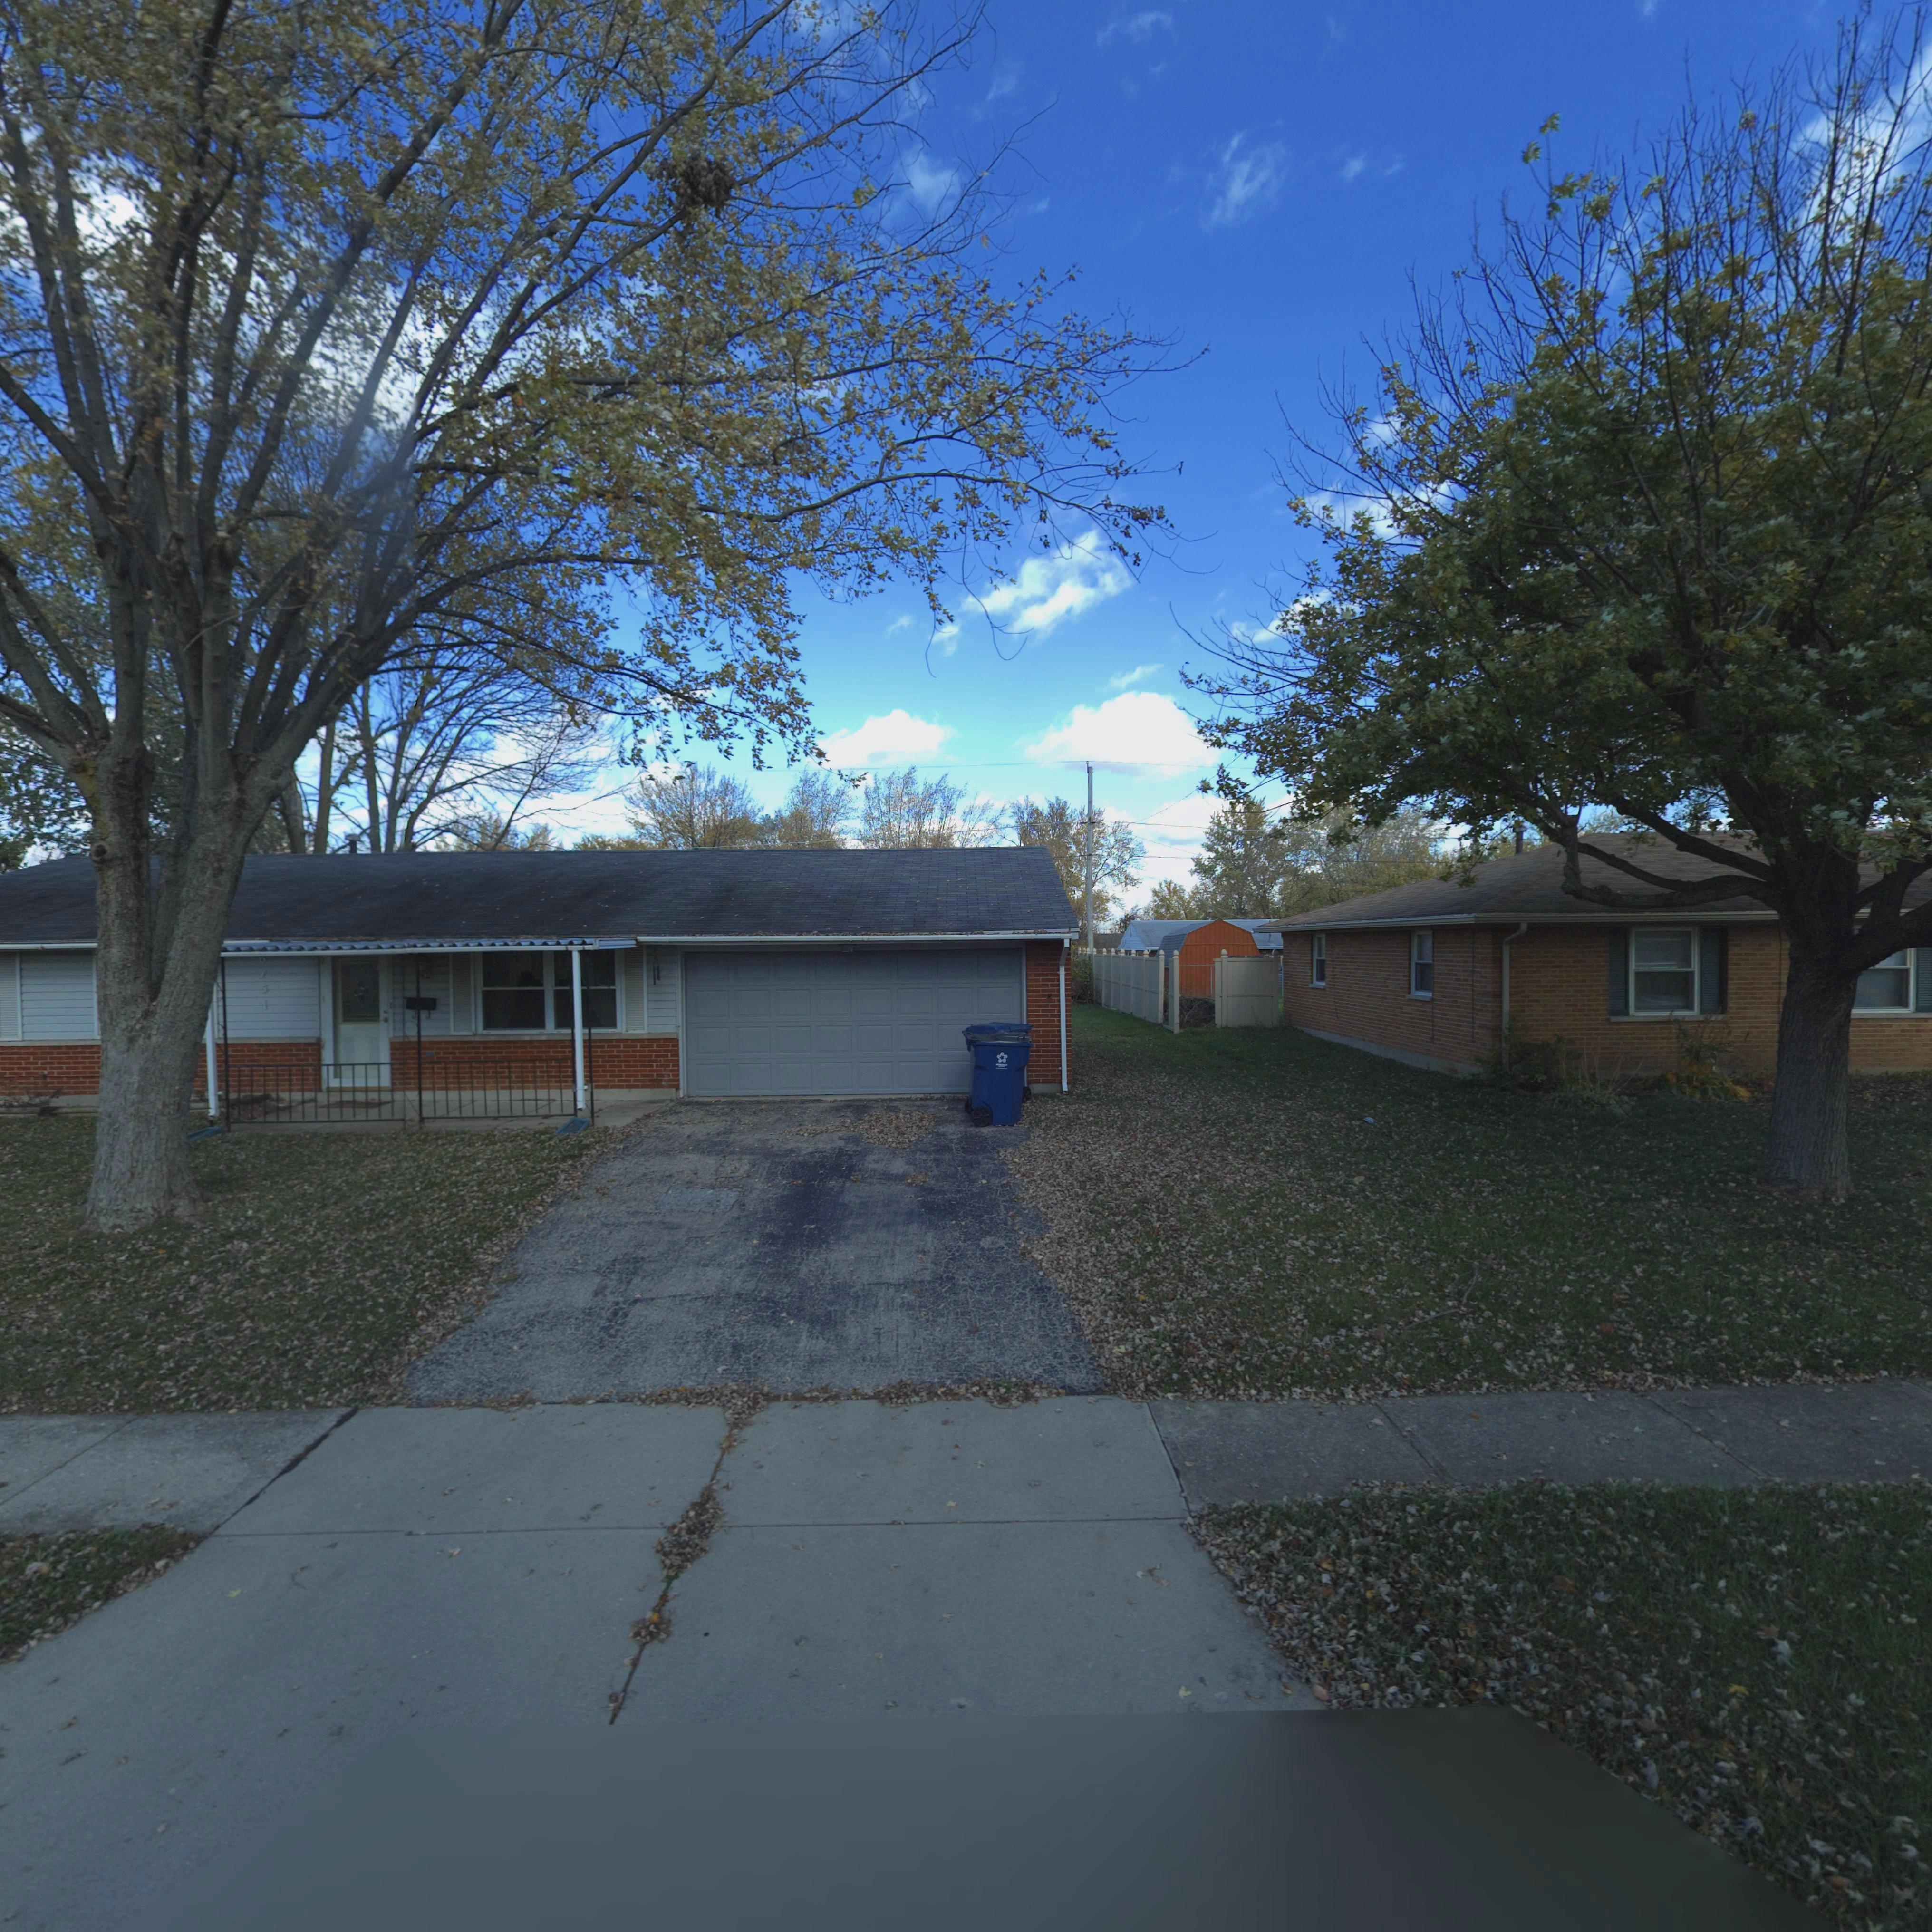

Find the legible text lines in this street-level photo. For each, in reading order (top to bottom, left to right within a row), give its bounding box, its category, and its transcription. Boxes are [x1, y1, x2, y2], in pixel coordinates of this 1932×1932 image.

[258, 967, 269, 1012] StreetNumber: 751